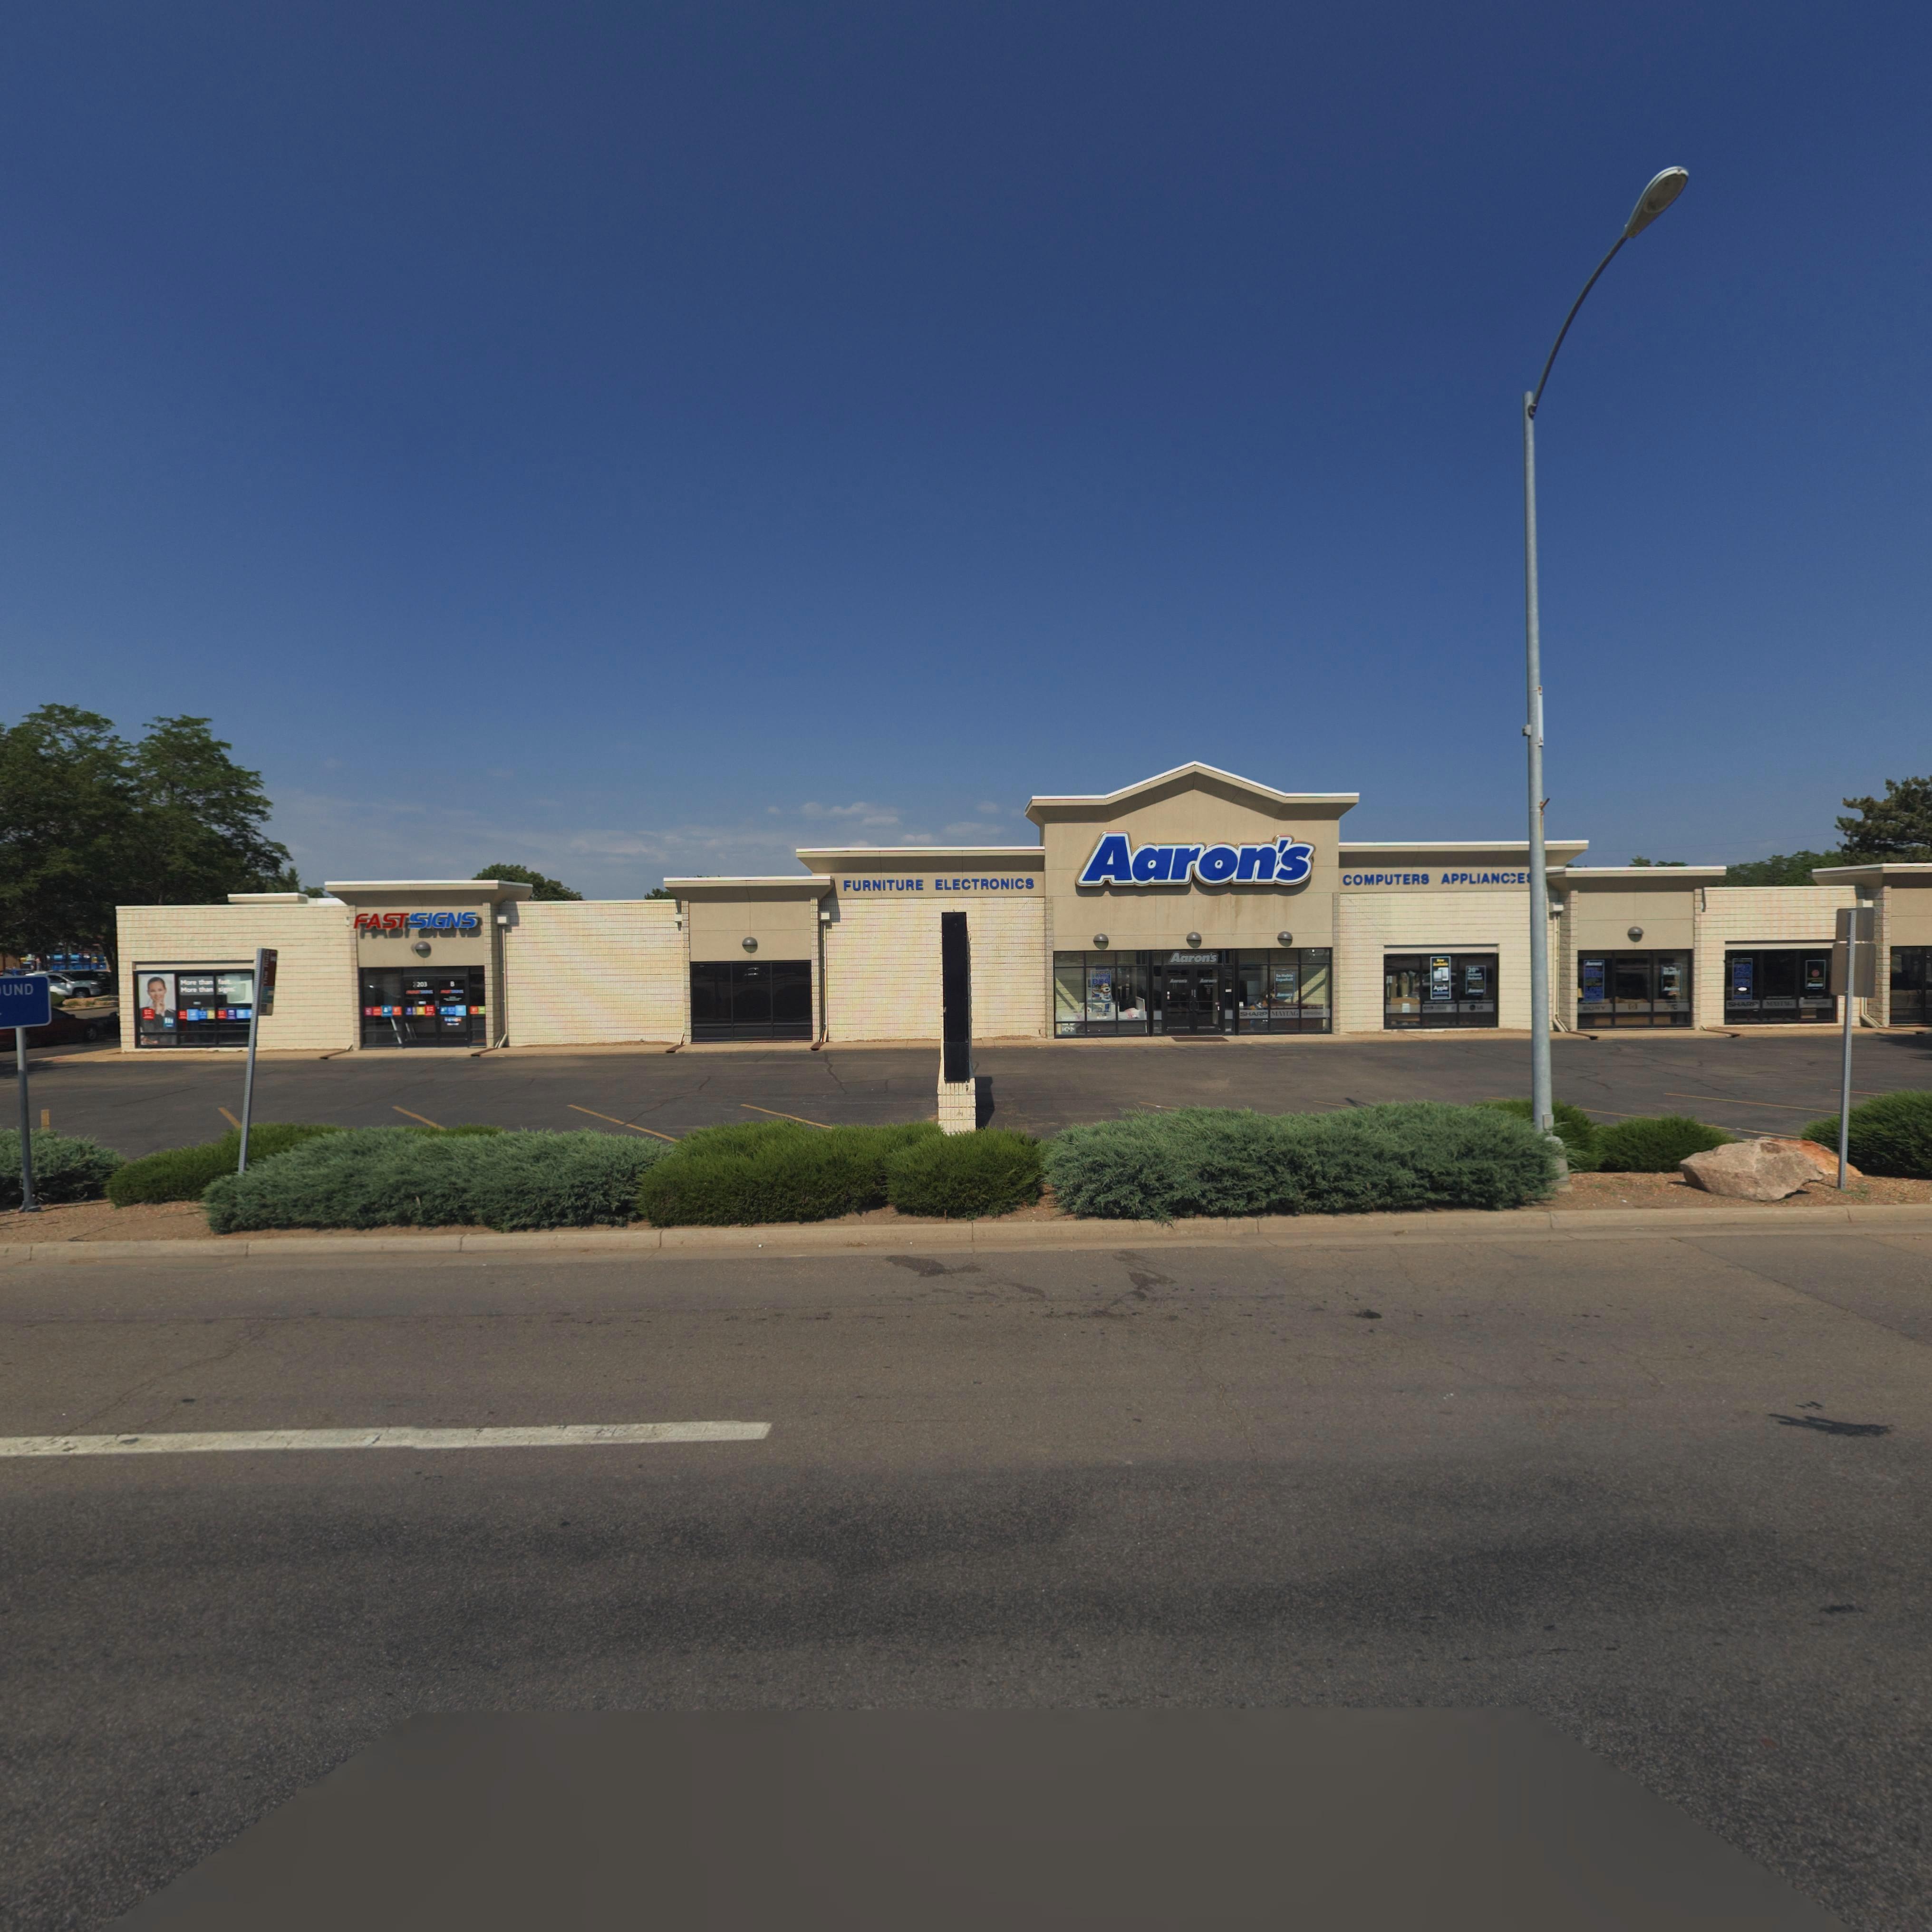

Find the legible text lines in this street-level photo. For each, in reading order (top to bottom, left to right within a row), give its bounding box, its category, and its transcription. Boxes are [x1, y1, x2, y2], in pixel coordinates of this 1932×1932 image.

[1073, 829, 1316, 887] BusinessName: Aaron's
[352, 910, 479, 930] BusinessName: FAST*SIGNS
[1169, 951, 1218, 964] BusinessName: Aaron's
[415, 981, 428, 987] StreetNumber: 203